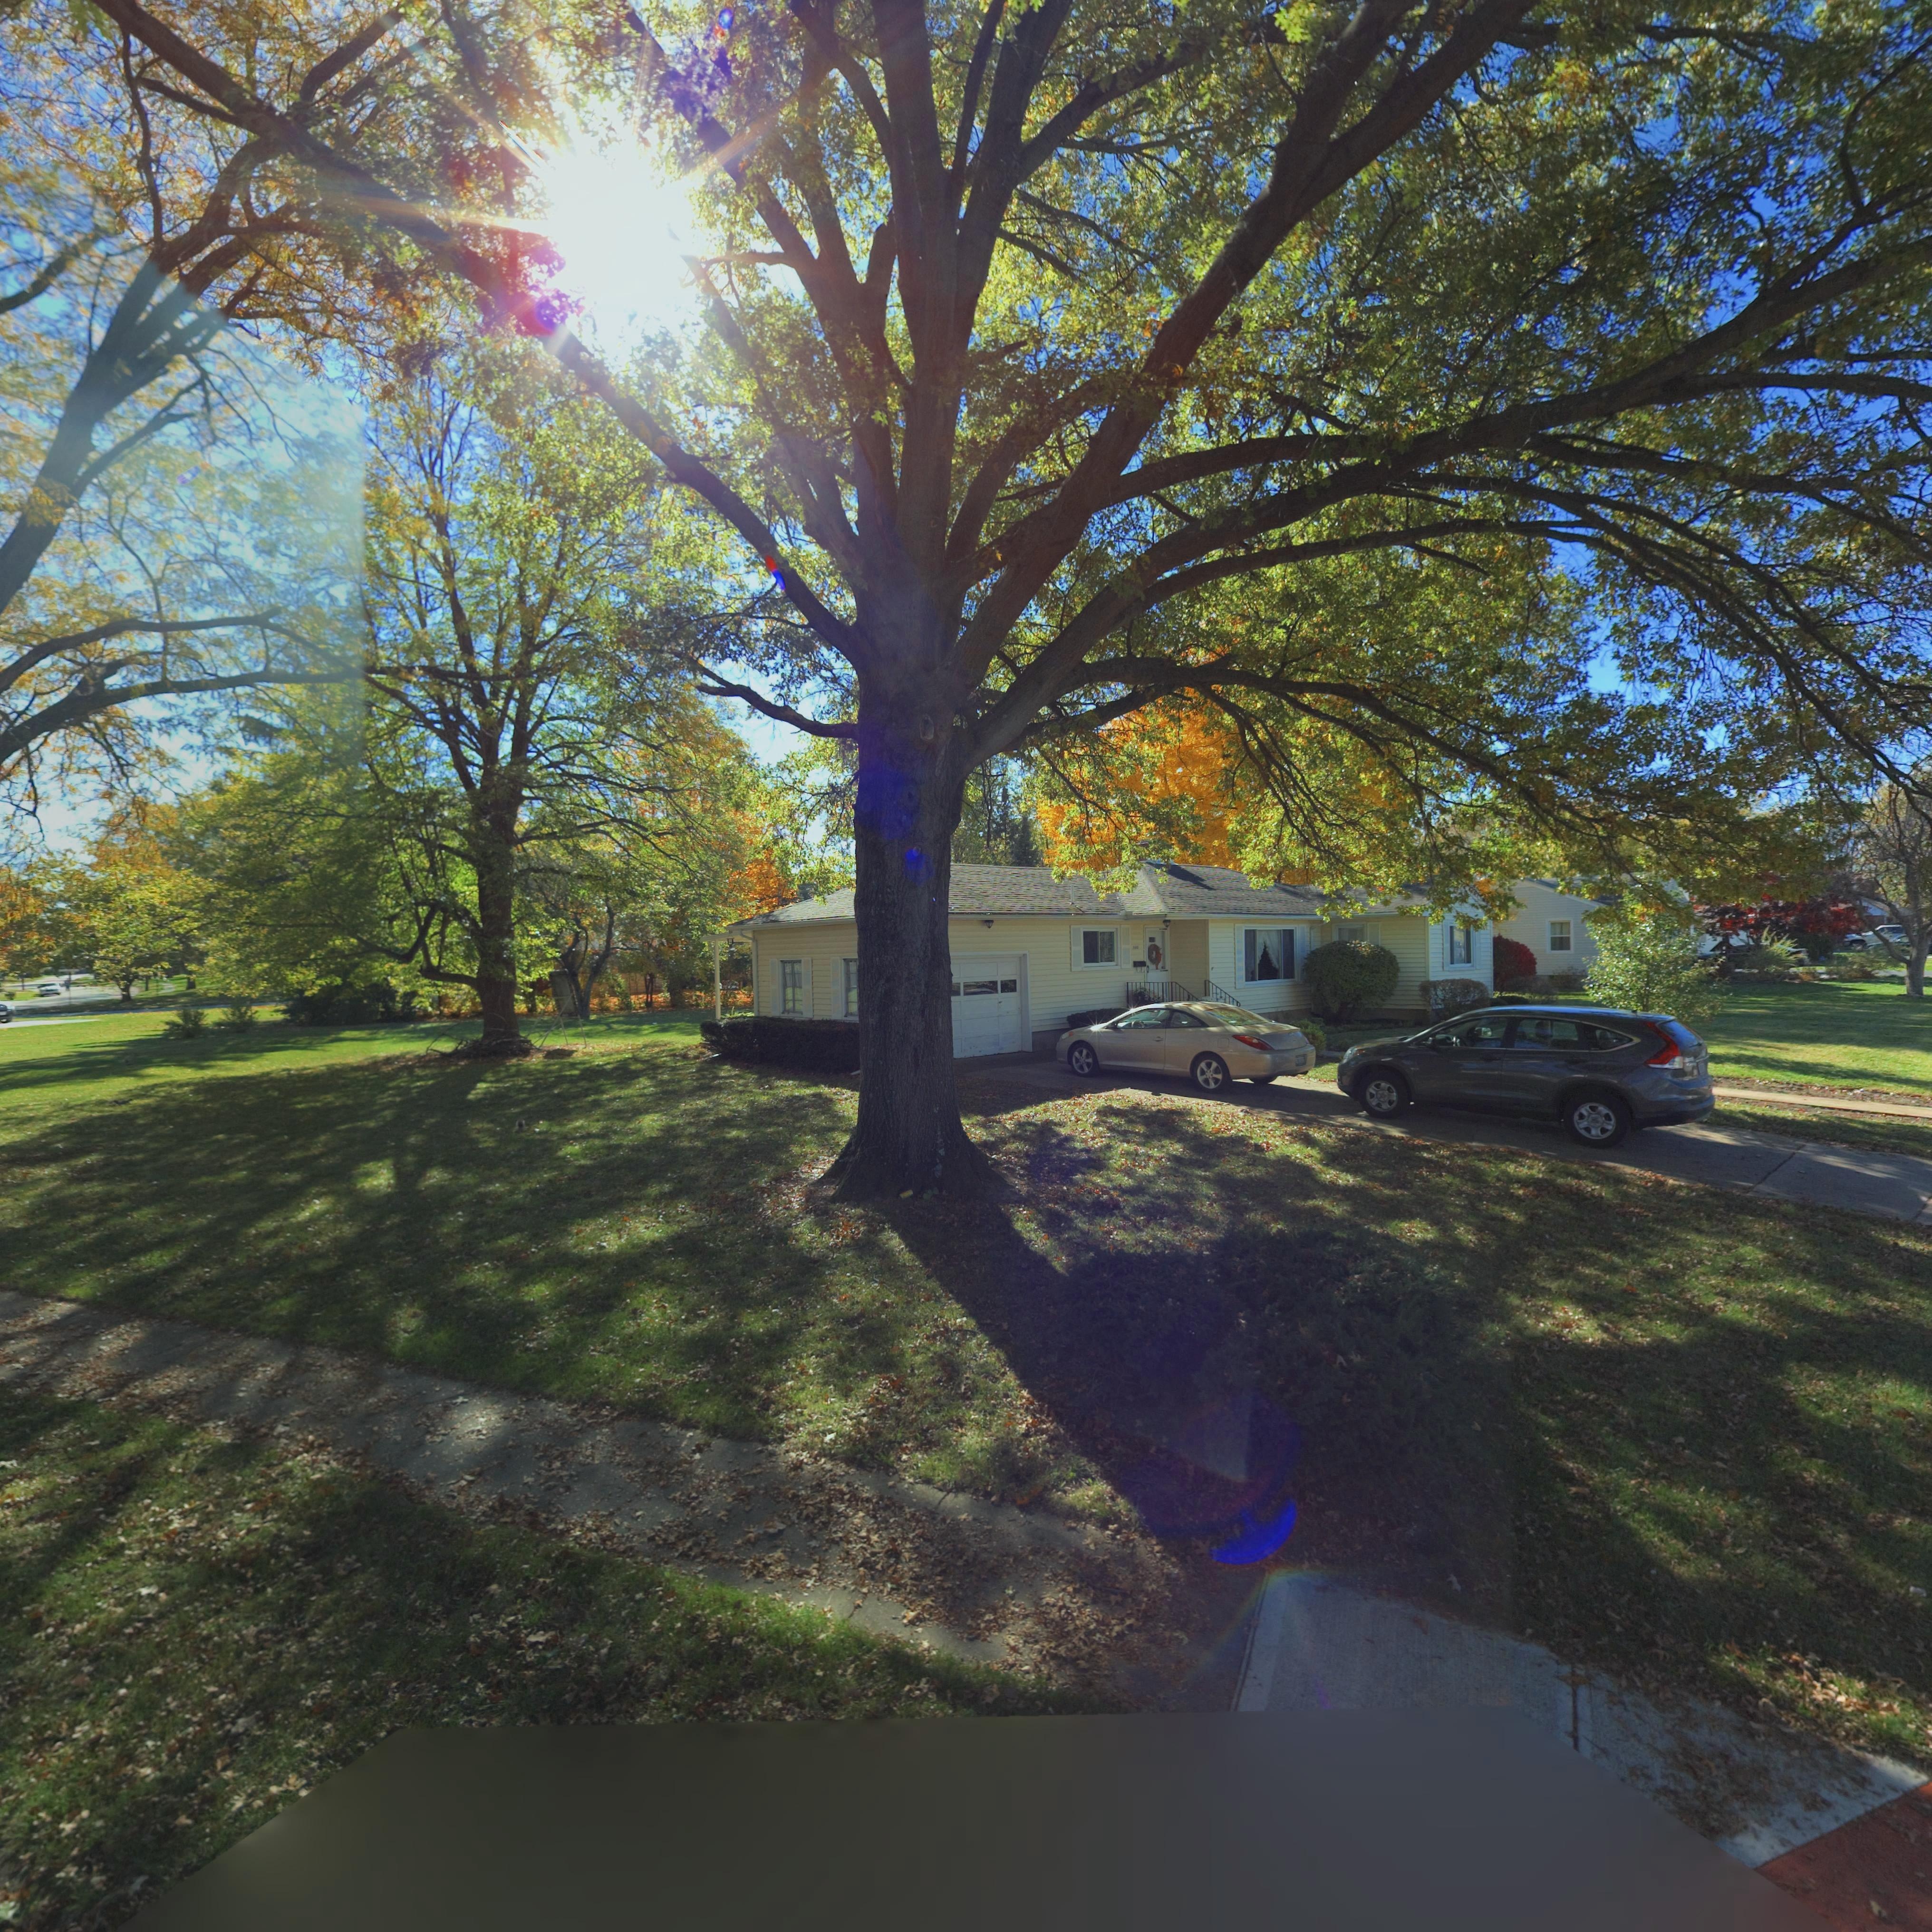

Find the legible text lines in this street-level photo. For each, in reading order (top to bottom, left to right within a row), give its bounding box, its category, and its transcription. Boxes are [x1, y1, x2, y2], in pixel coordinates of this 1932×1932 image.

[1132, 945, 1139, 949] StreetNumber: 300